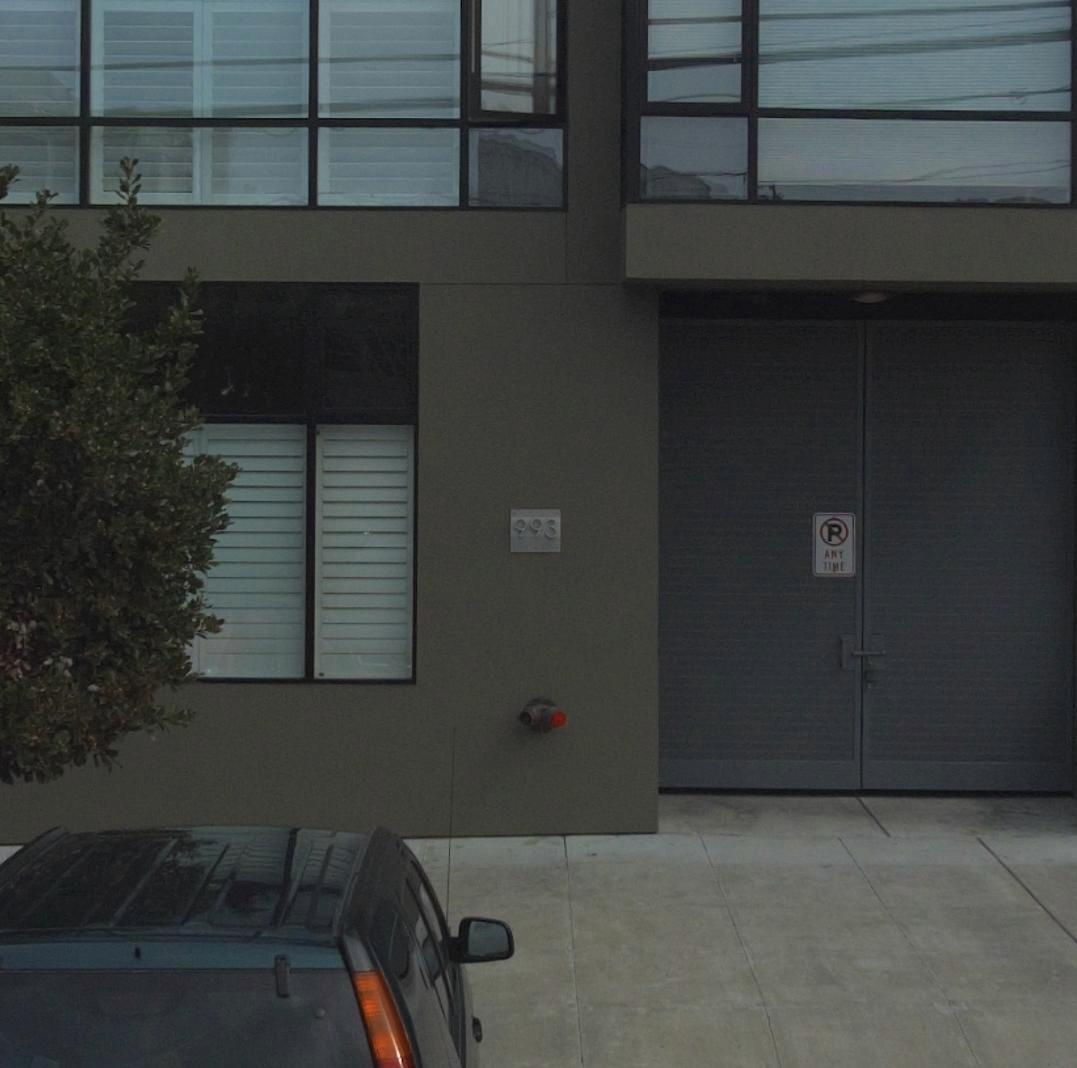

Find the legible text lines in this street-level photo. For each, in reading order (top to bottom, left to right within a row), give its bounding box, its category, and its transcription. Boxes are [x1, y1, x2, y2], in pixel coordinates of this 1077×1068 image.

[513, 516, 559, 540] StreetNumber: 993
[823, 548, 845, 559] None: ANY
[821, 560, 845, 572] None: TIME